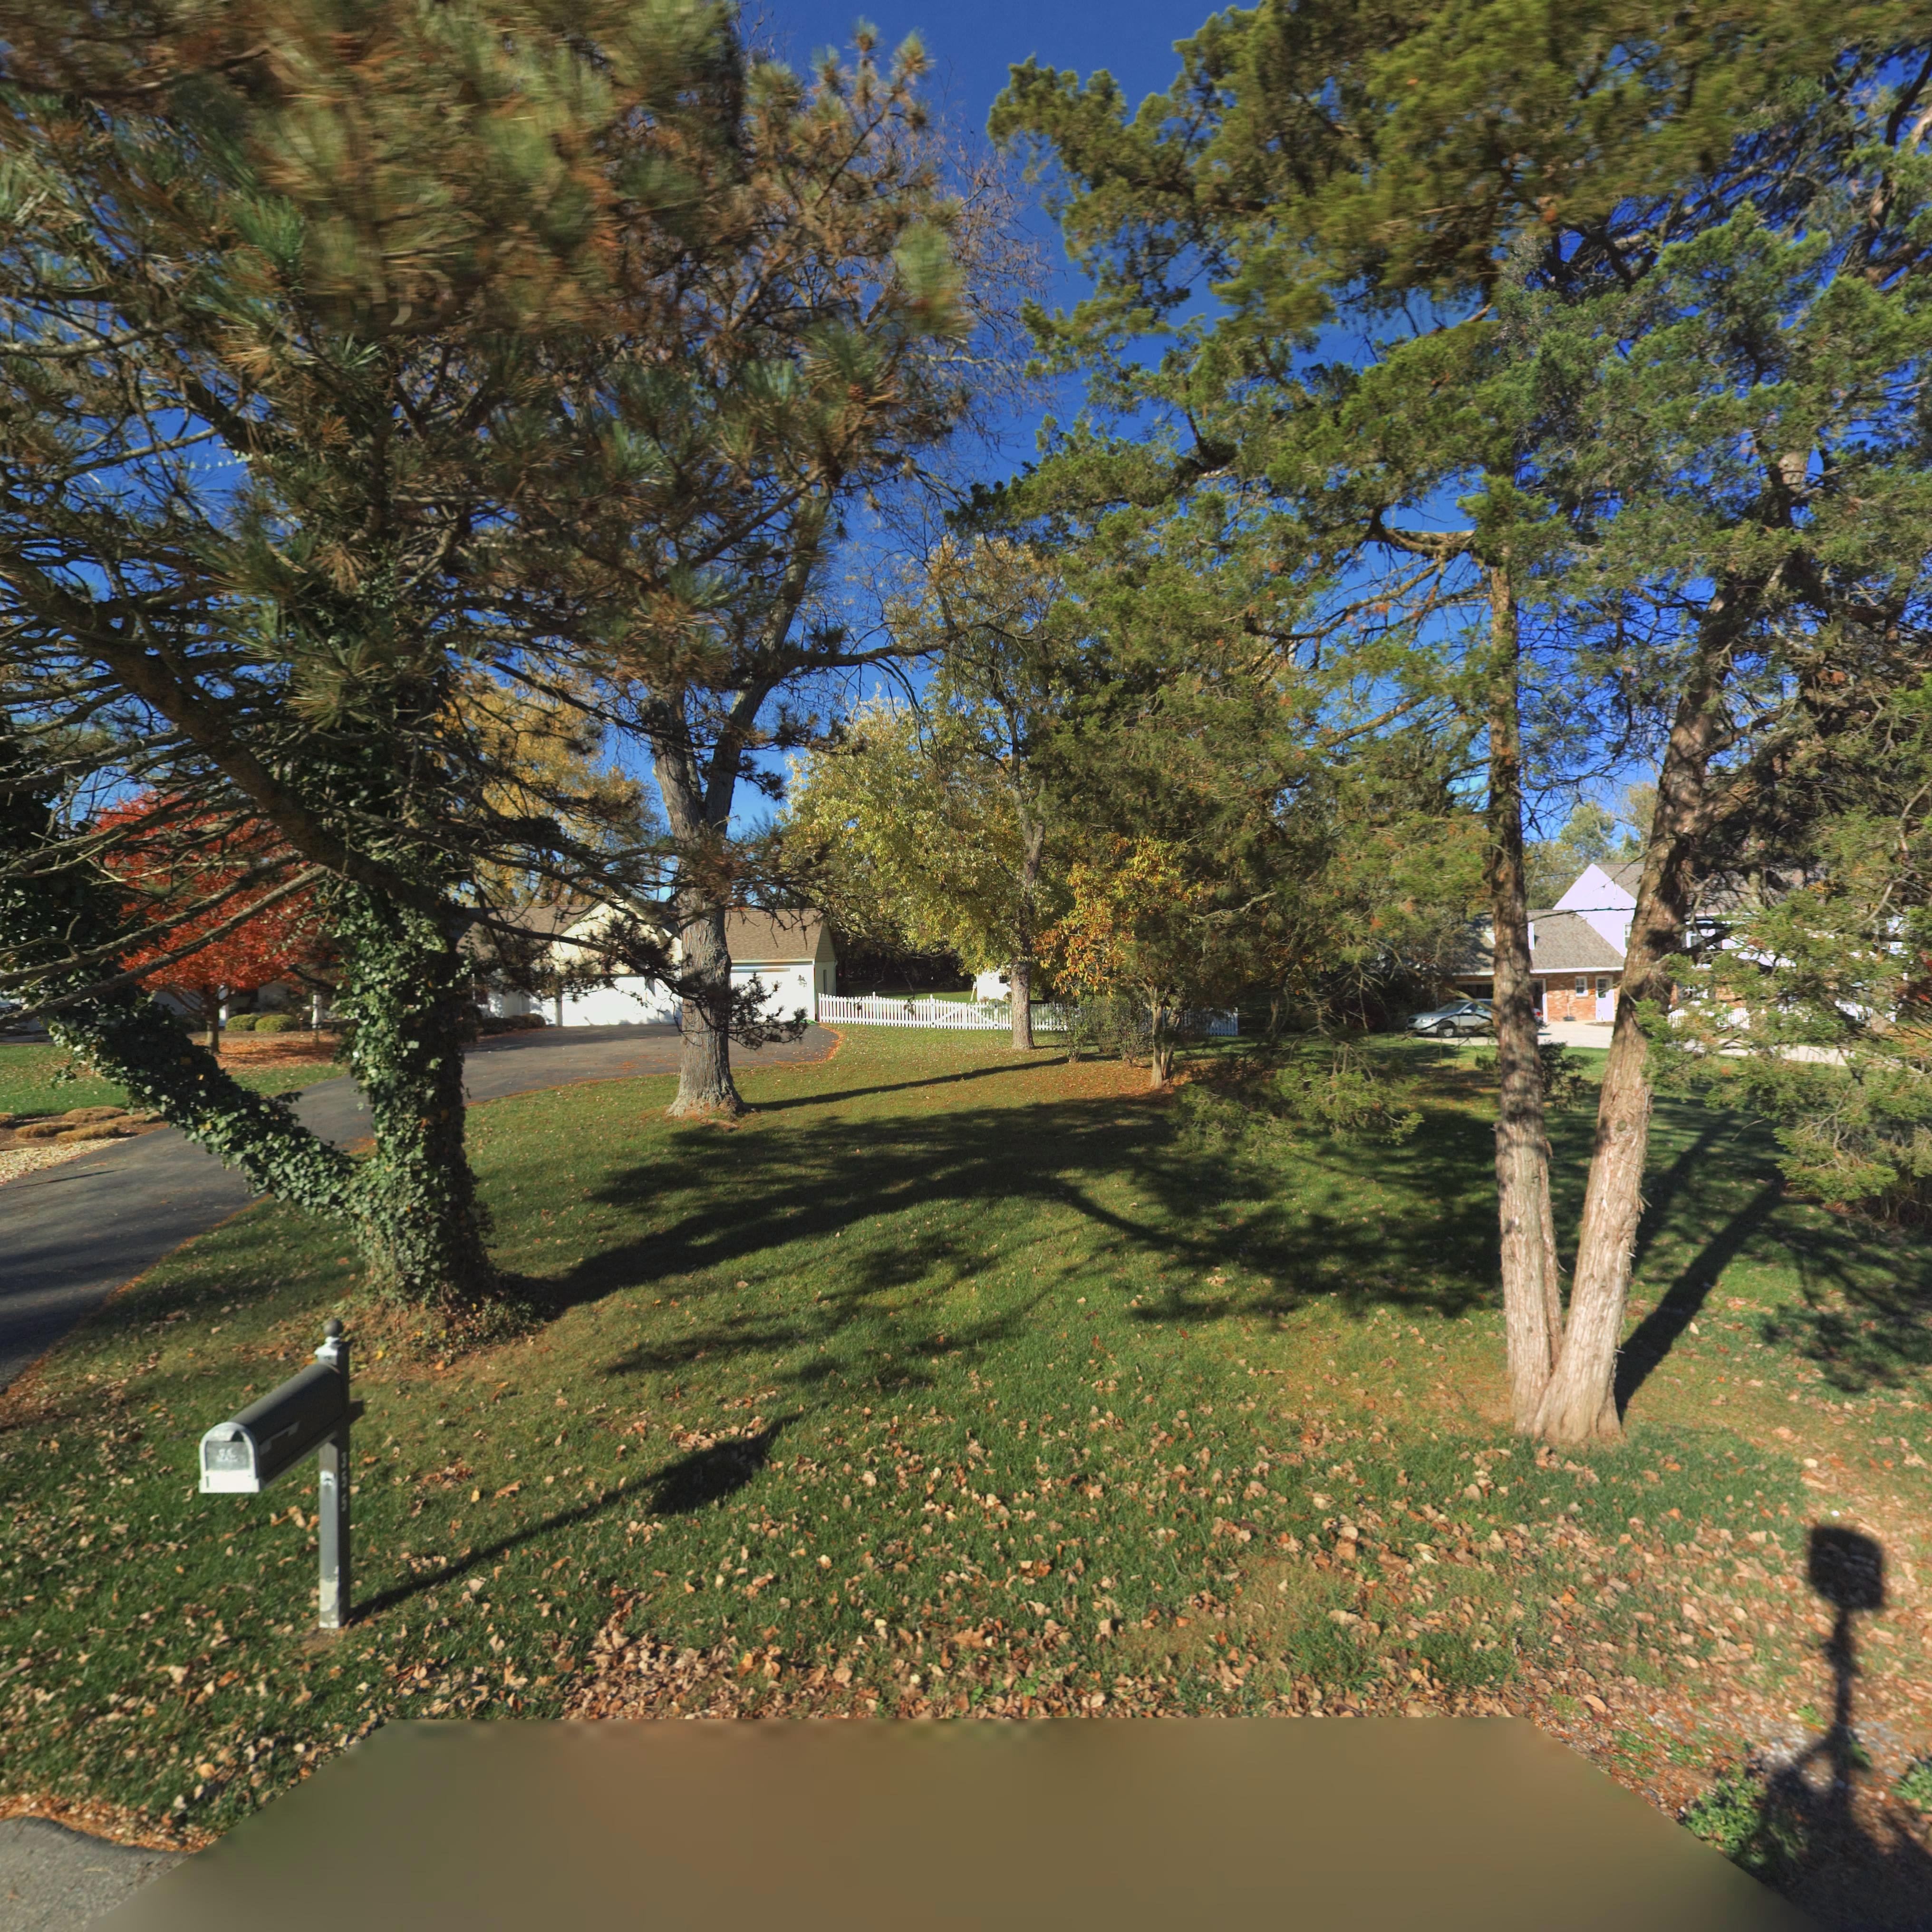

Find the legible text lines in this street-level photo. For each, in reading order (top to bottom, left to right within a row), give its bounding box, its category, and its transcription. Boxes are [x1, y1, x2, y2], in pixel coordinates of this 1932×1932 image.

[338, 1449, 348, 1514] StreetNumber: 355